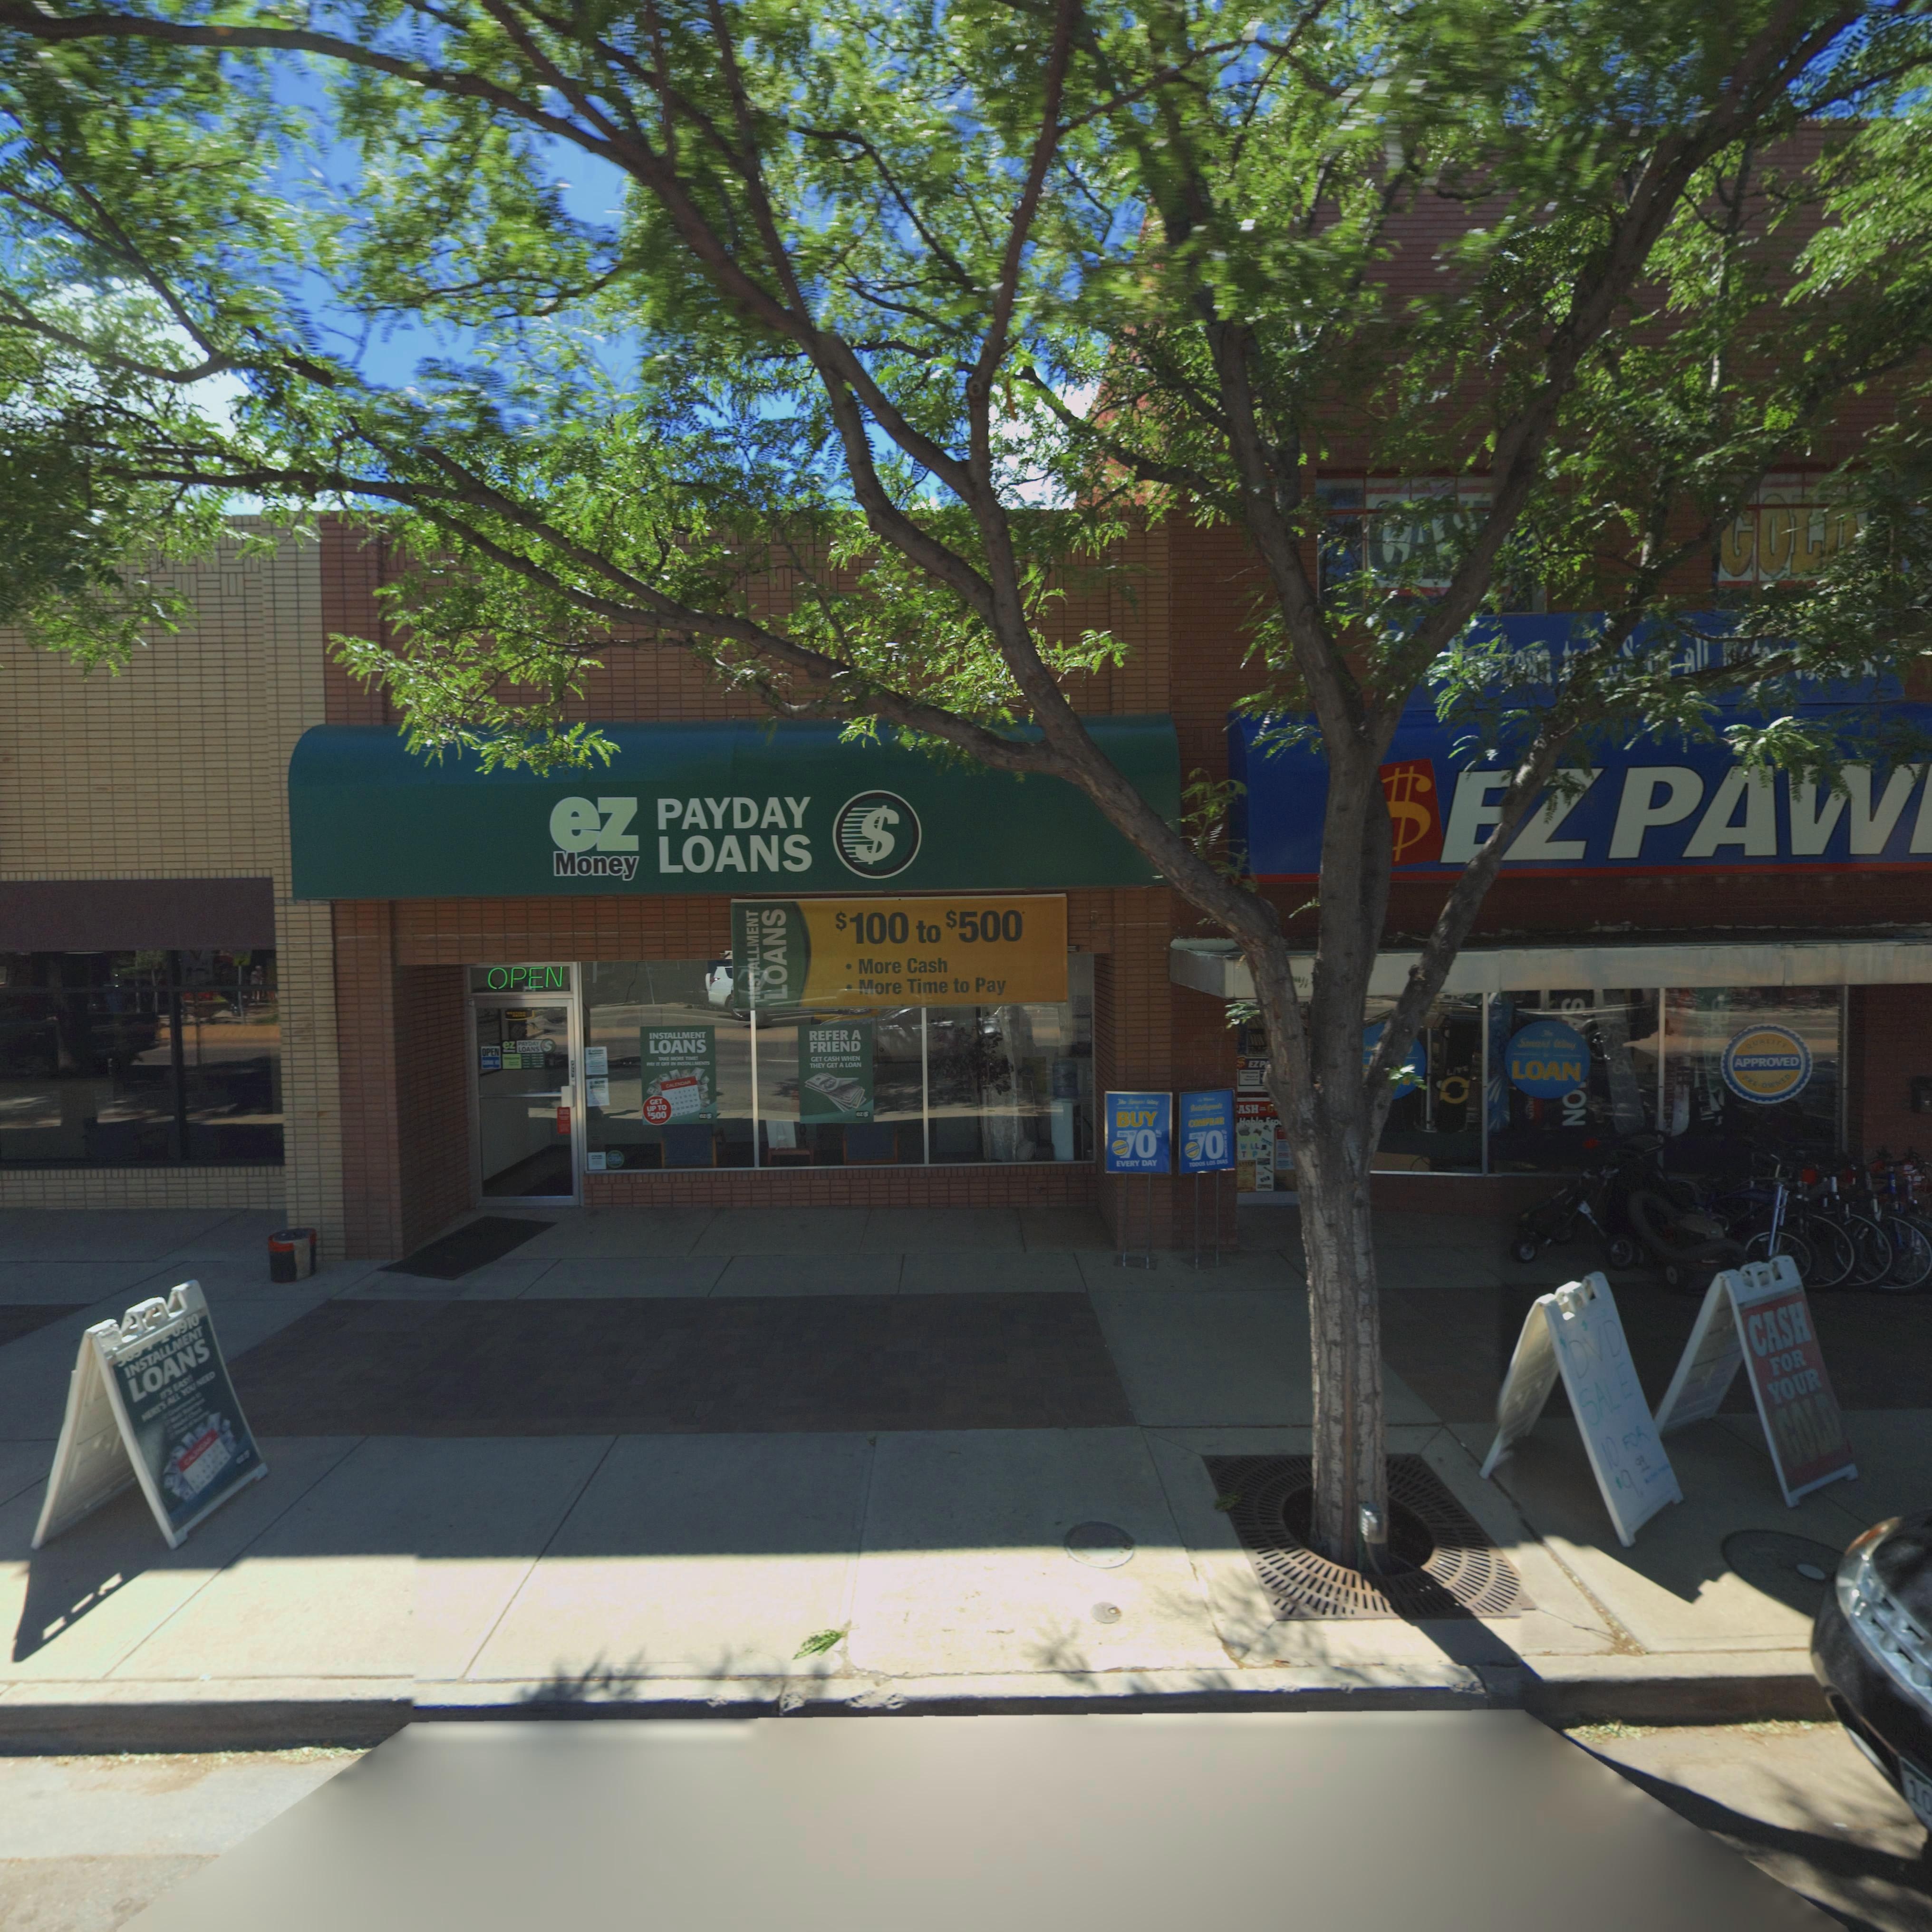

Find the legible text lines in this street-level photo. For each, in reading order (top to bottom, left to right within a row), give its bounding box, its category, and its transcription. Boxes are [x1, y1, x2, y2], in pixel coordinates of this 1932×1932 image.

[549, 796, 639, 852] BusinessName: ez
[1436, 761, 1927, 864] BusinessName: EZ PAW
[554, 851, 639, 880] BusinessName: Money
[502, 1041, 515, 1049] BusinessName: ez
[1247, 1060, 1266, 1068] BusinessName: EZ P
[1513, 1061, 1580, 1081] BusinessName: LORAN